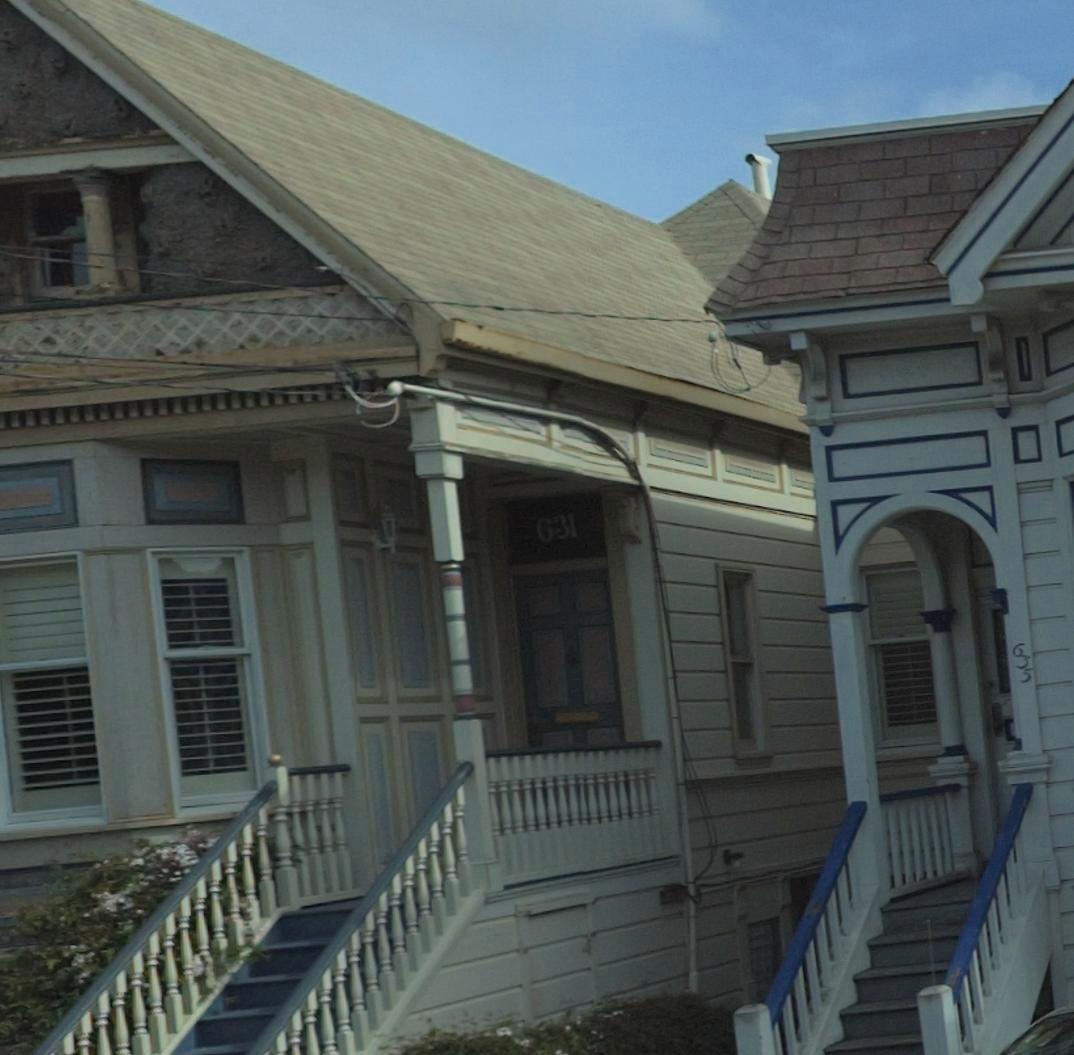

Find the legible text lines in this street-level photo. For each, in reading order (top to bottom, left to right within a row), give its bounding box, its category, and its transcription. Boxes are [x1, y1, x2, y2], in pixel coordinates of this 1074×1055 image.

[533, 509, 580, 547] StreetNumber: 631
[1011, 641, 1036, 685] StreetNumber: 635